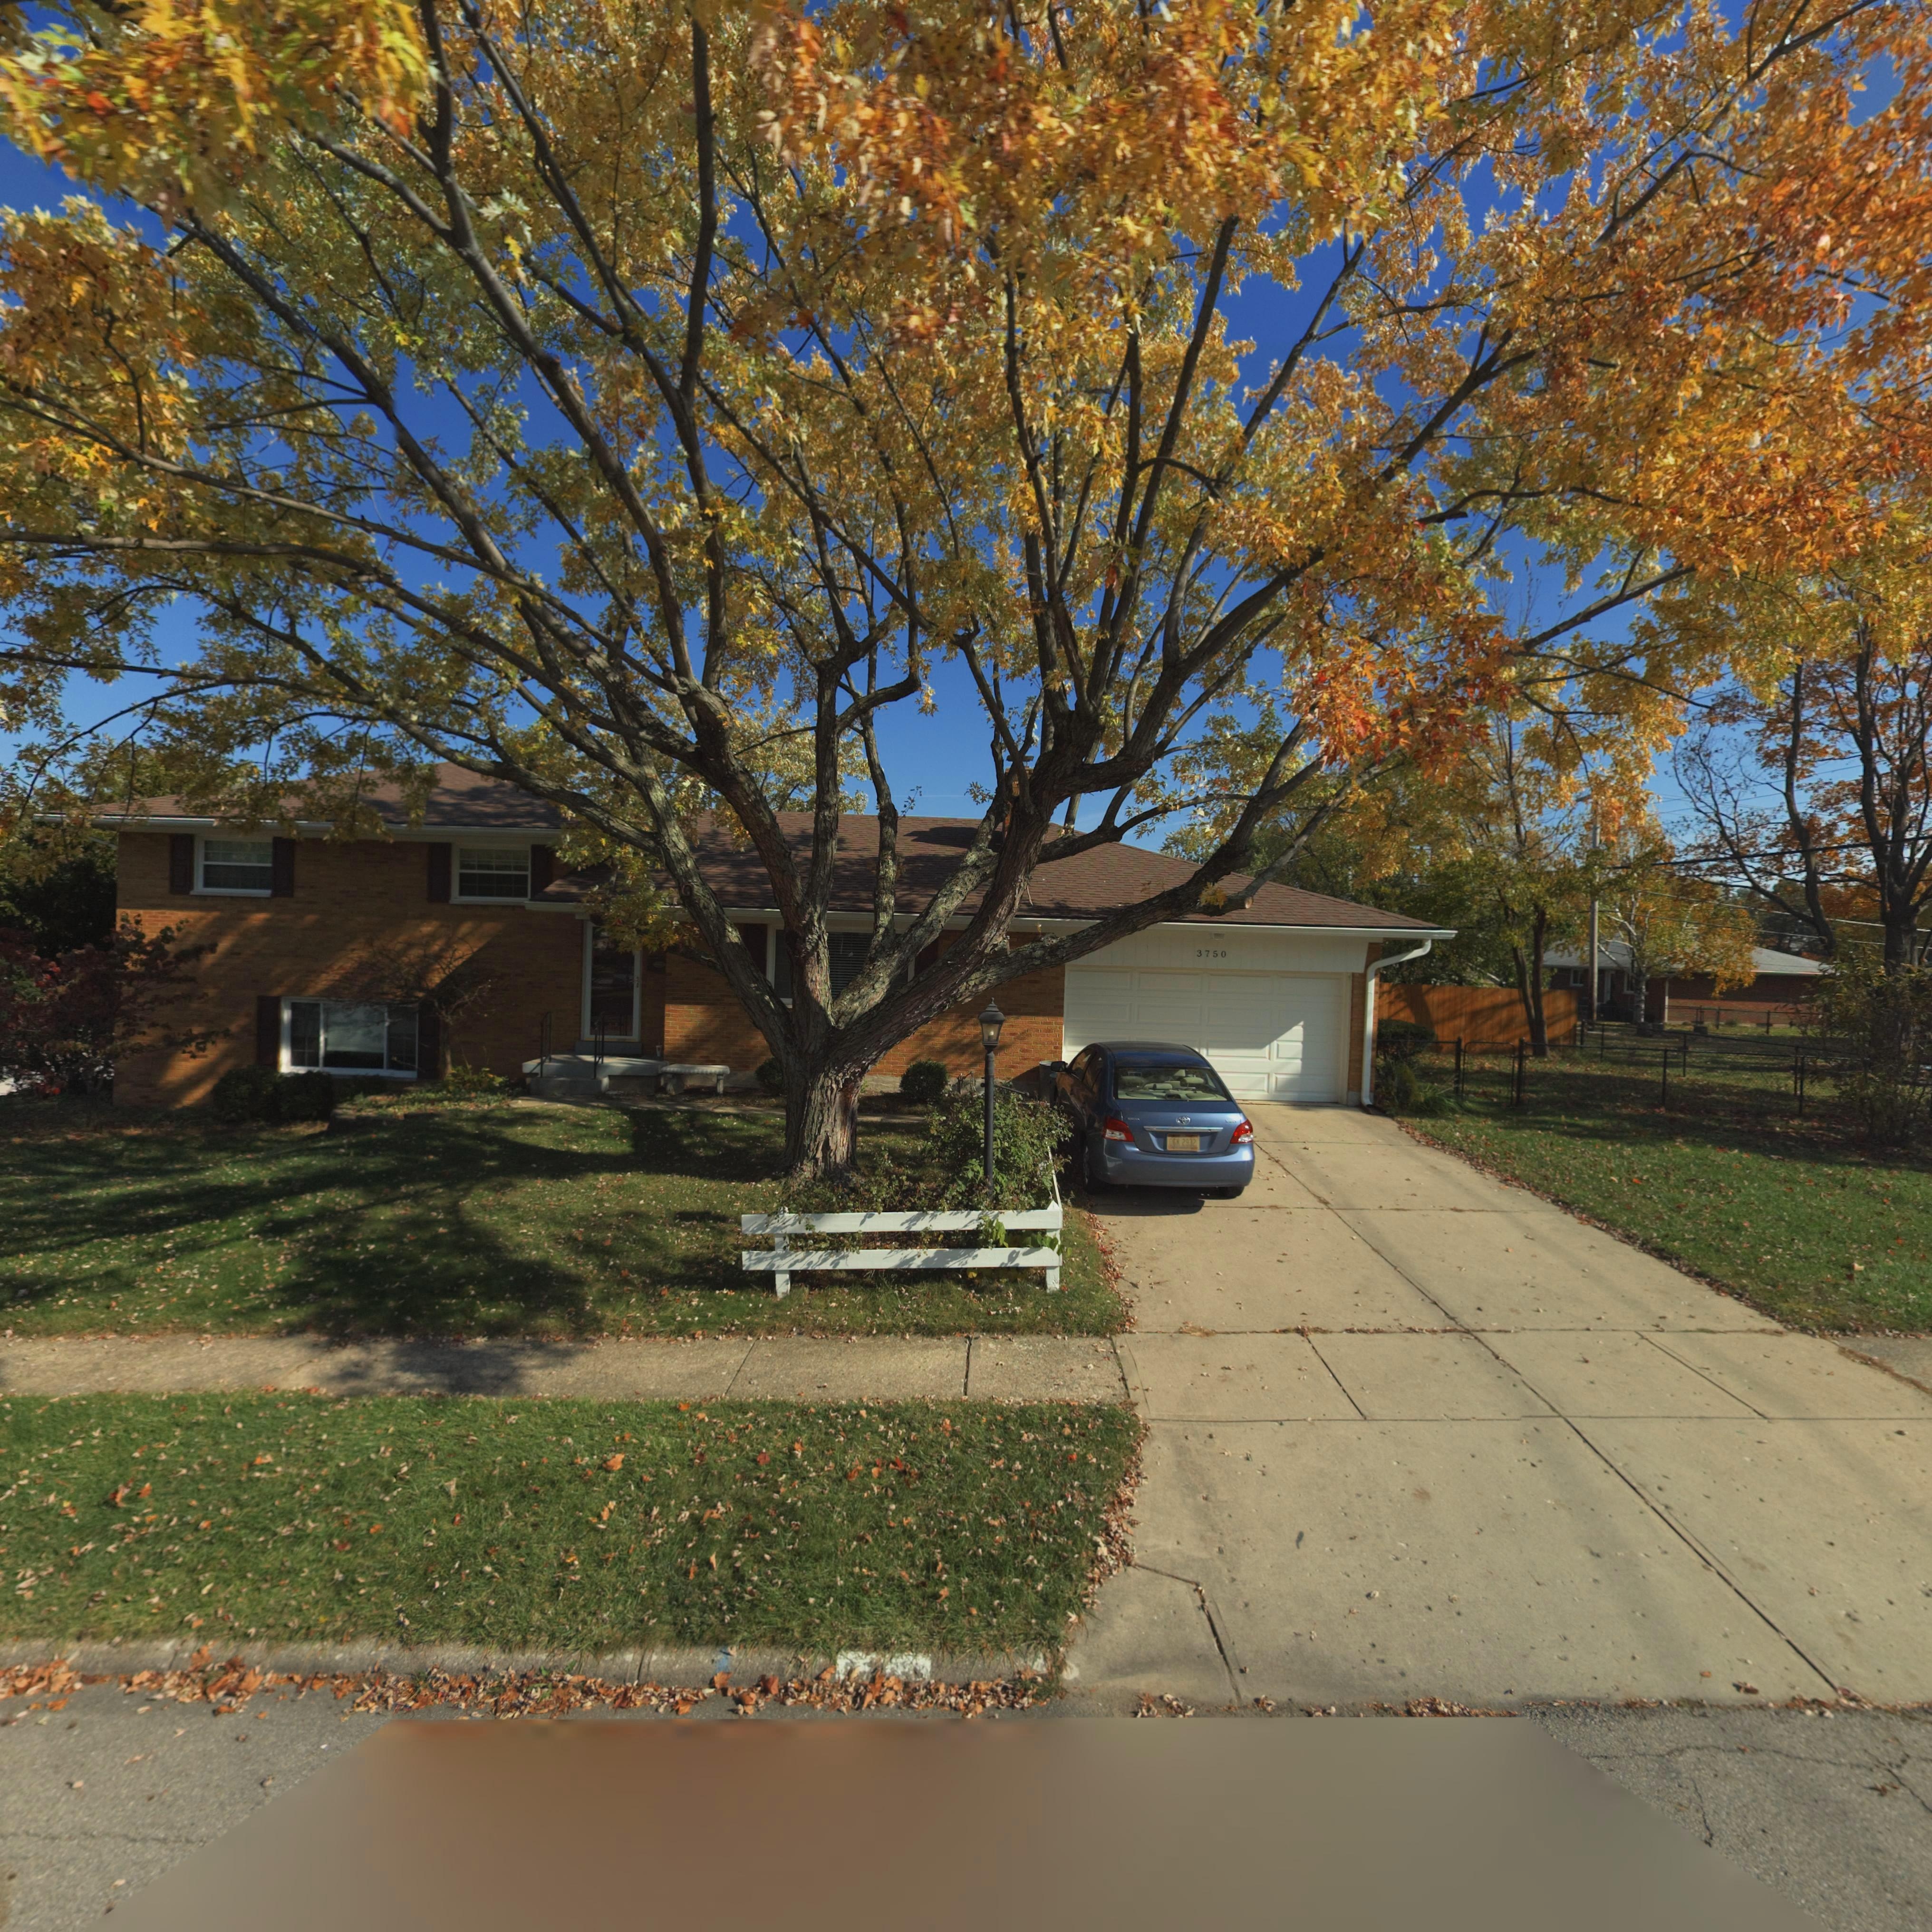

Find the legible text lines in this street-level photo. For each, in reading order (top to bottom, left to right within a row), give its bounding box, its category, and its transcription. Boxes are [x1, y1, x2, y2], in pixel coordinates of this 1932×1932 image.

[1196, 949, 1227, 958] StreetNumber: 3750